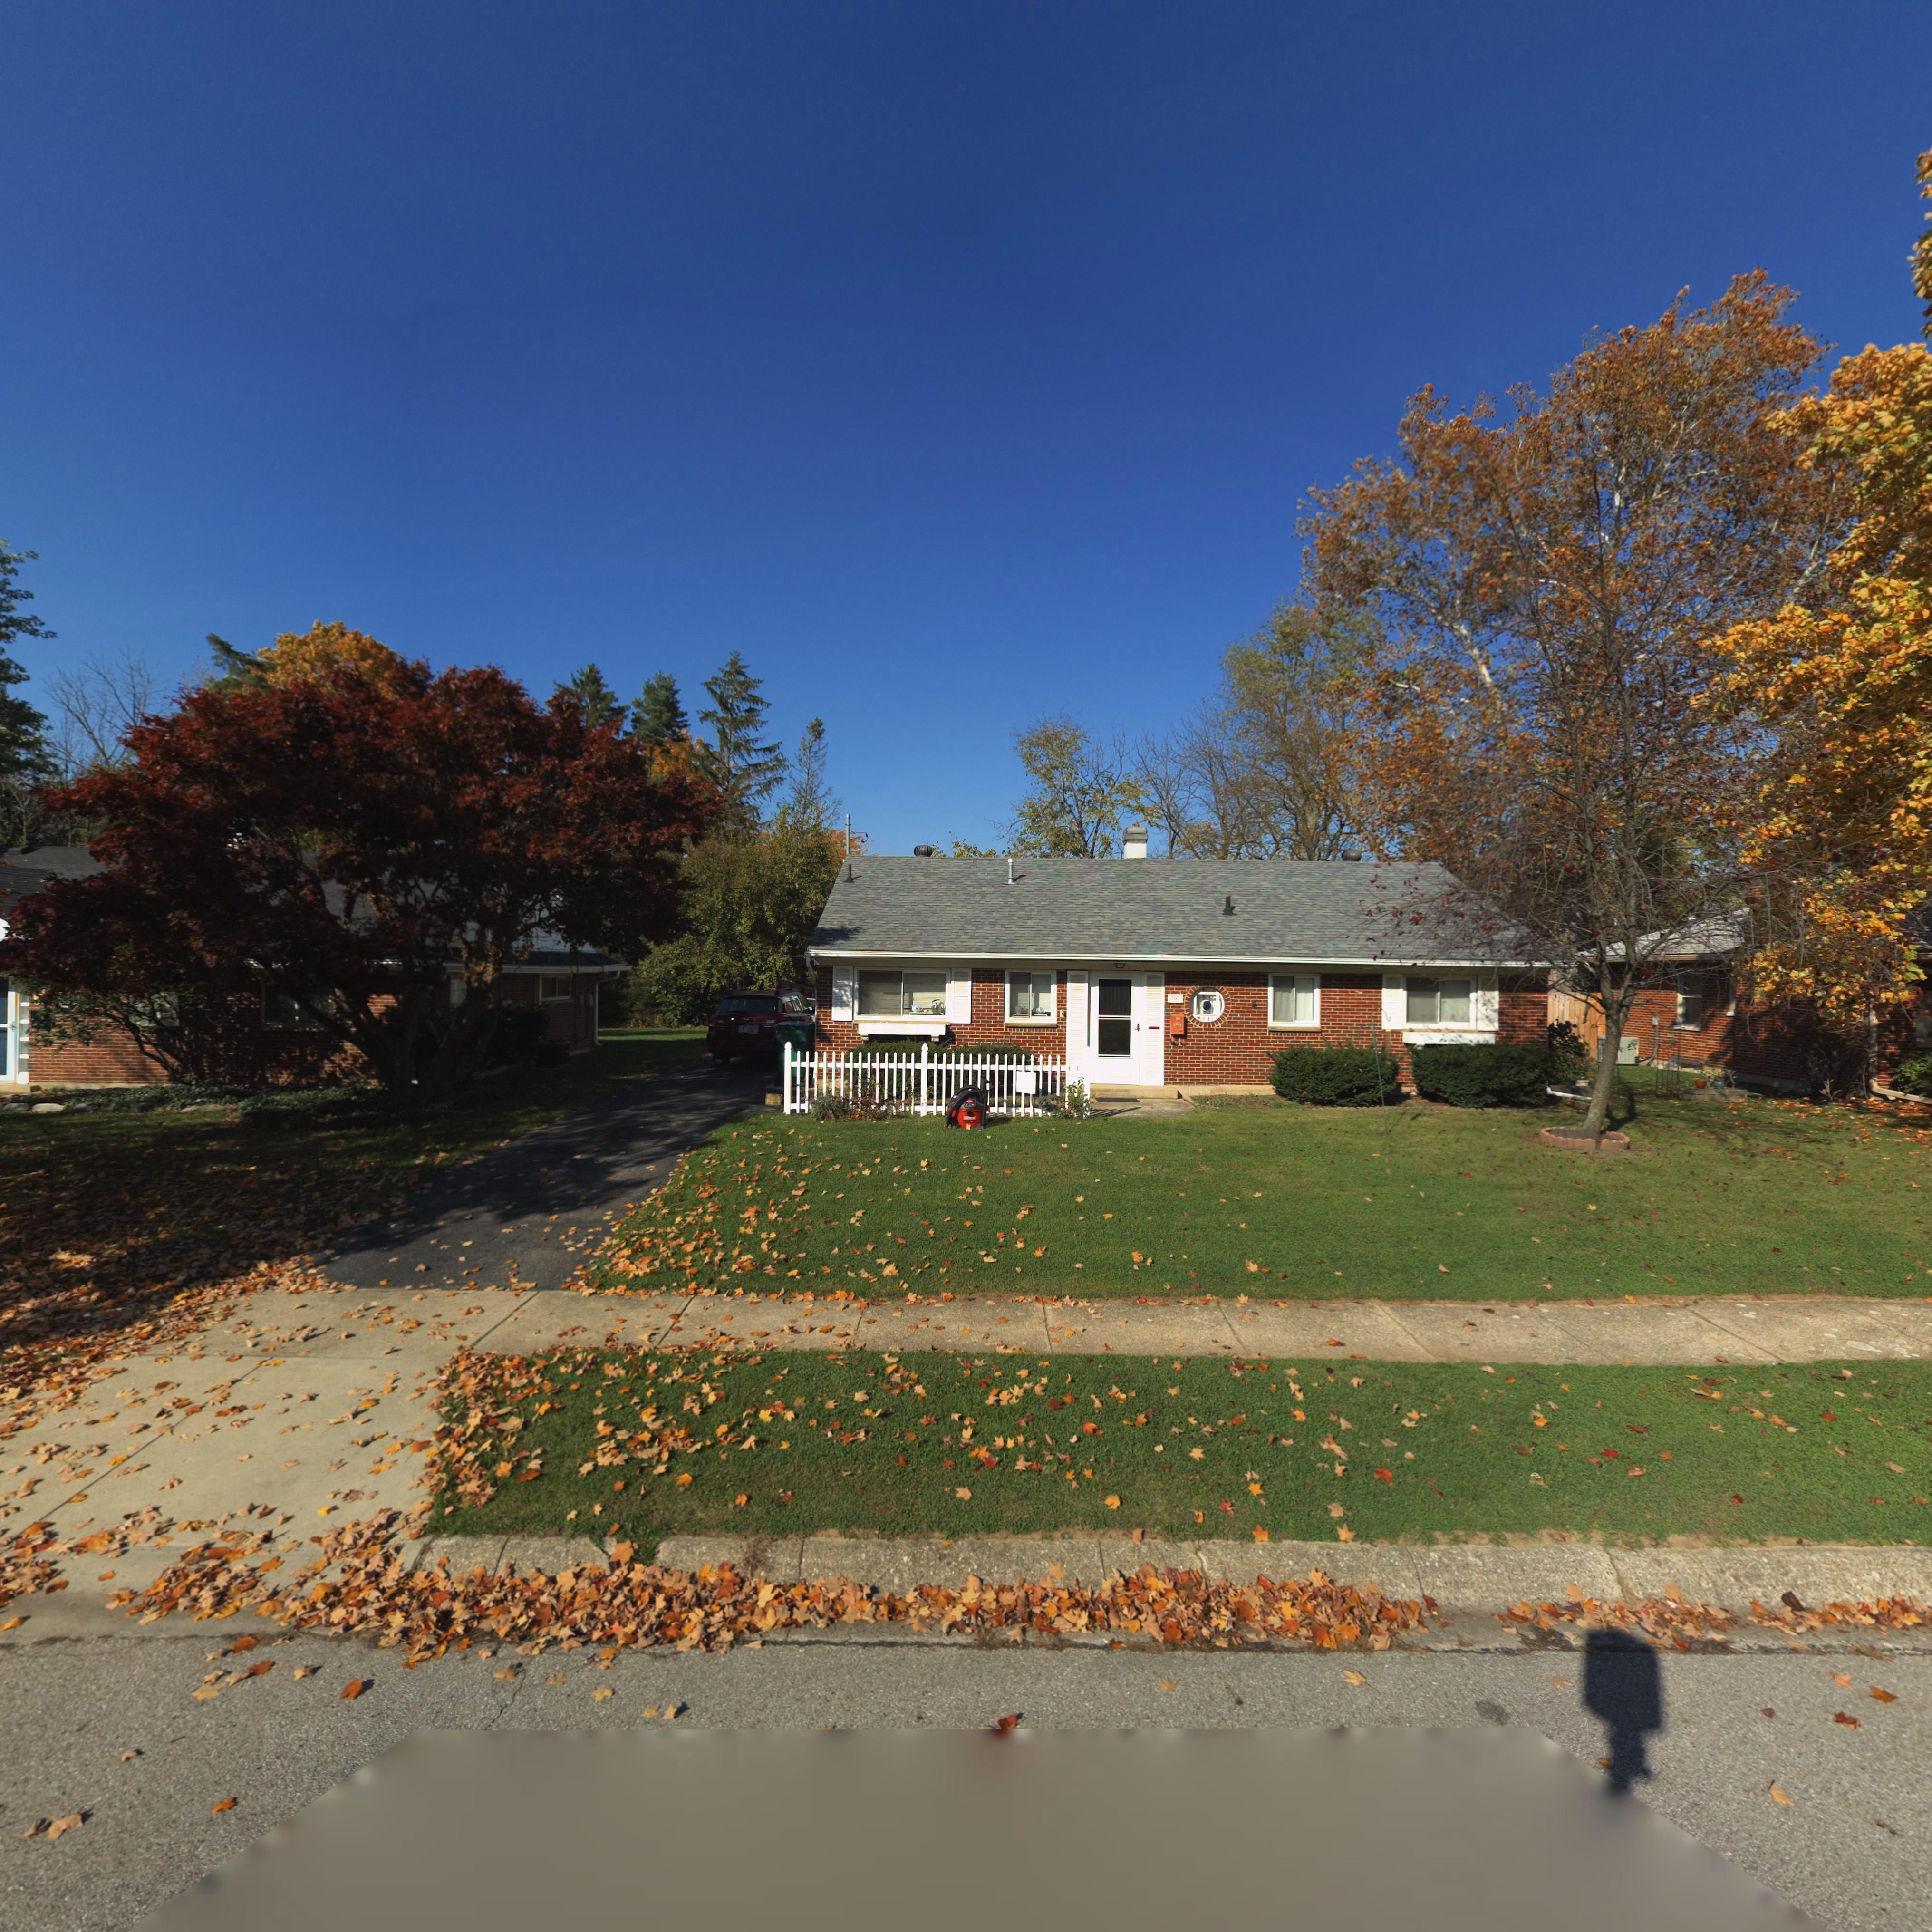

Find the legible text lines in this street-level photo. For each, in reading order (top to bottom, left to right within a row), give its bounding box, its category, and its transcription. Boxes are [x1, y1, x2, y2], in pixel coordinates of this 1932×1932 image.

[1170, 995, 1181, 1002] StreetNumber: 70*